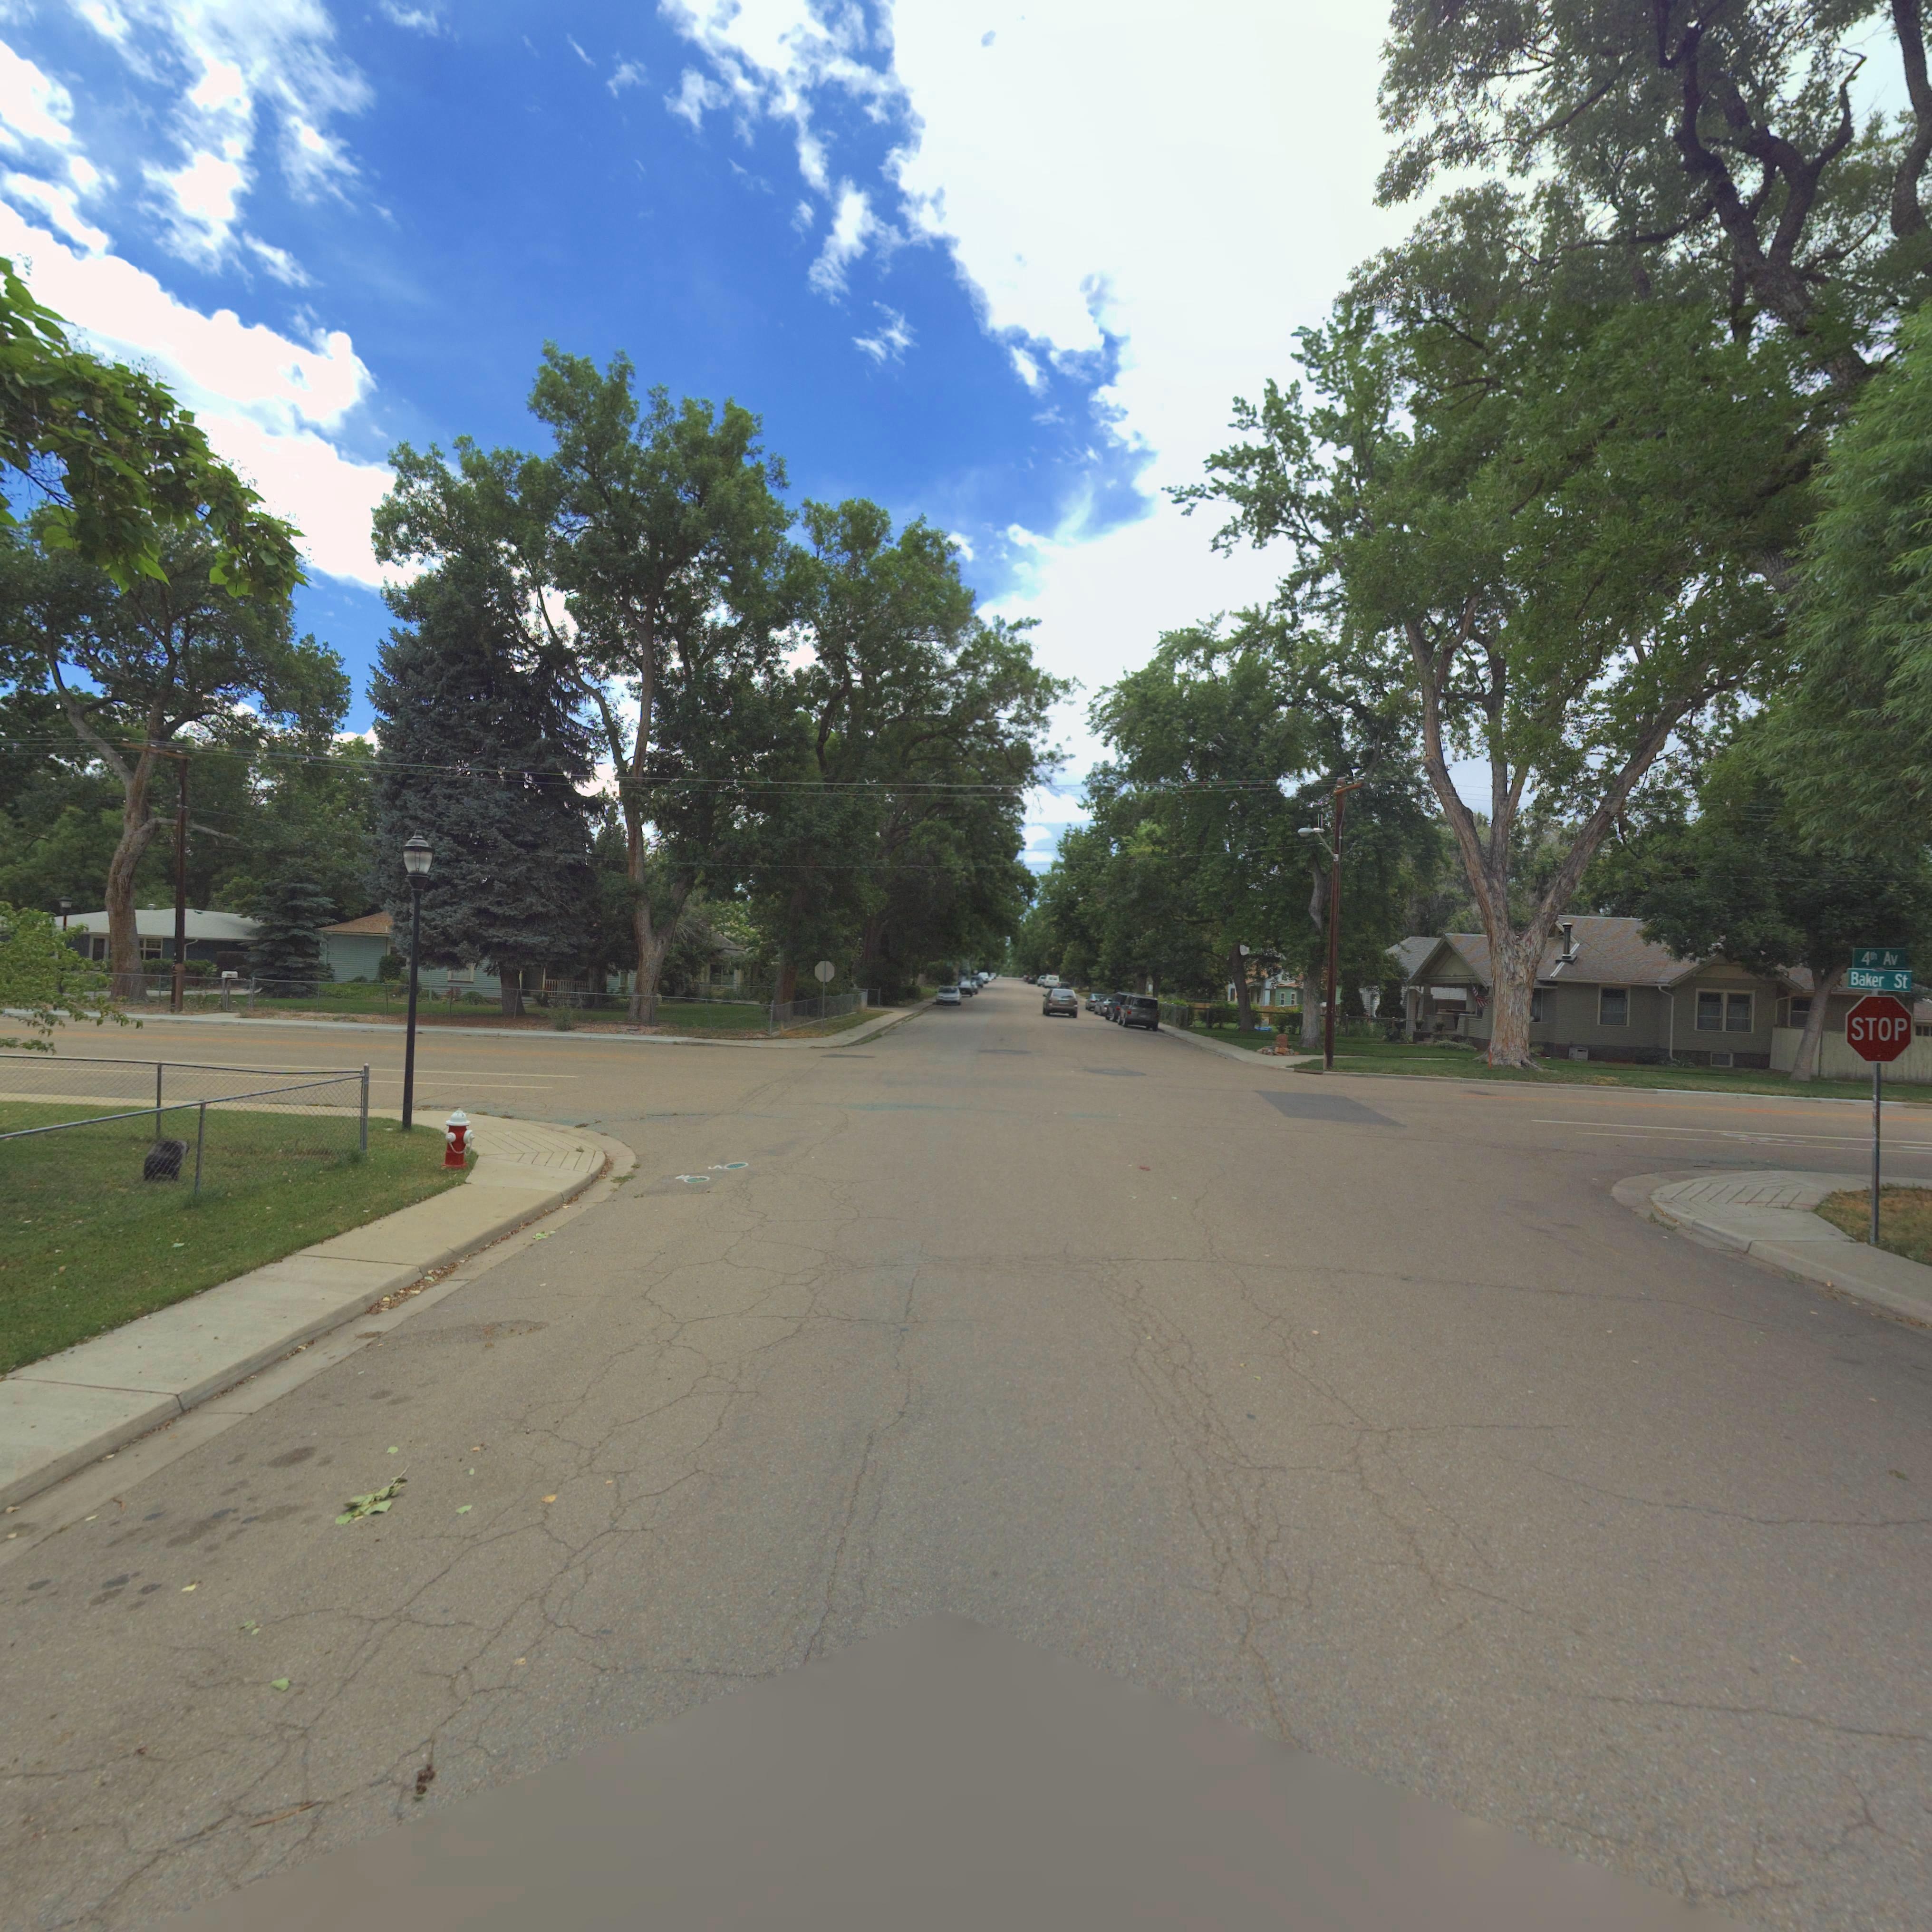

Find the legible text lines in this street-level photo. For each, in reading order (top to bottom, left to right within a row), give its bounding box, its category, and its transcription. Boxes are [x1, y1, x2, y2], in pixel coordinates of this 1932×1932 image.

[1861, 950, 1898, 966] StreetName: 4th Av
[1850, 971, 1908, 989] StreetName: Baker St